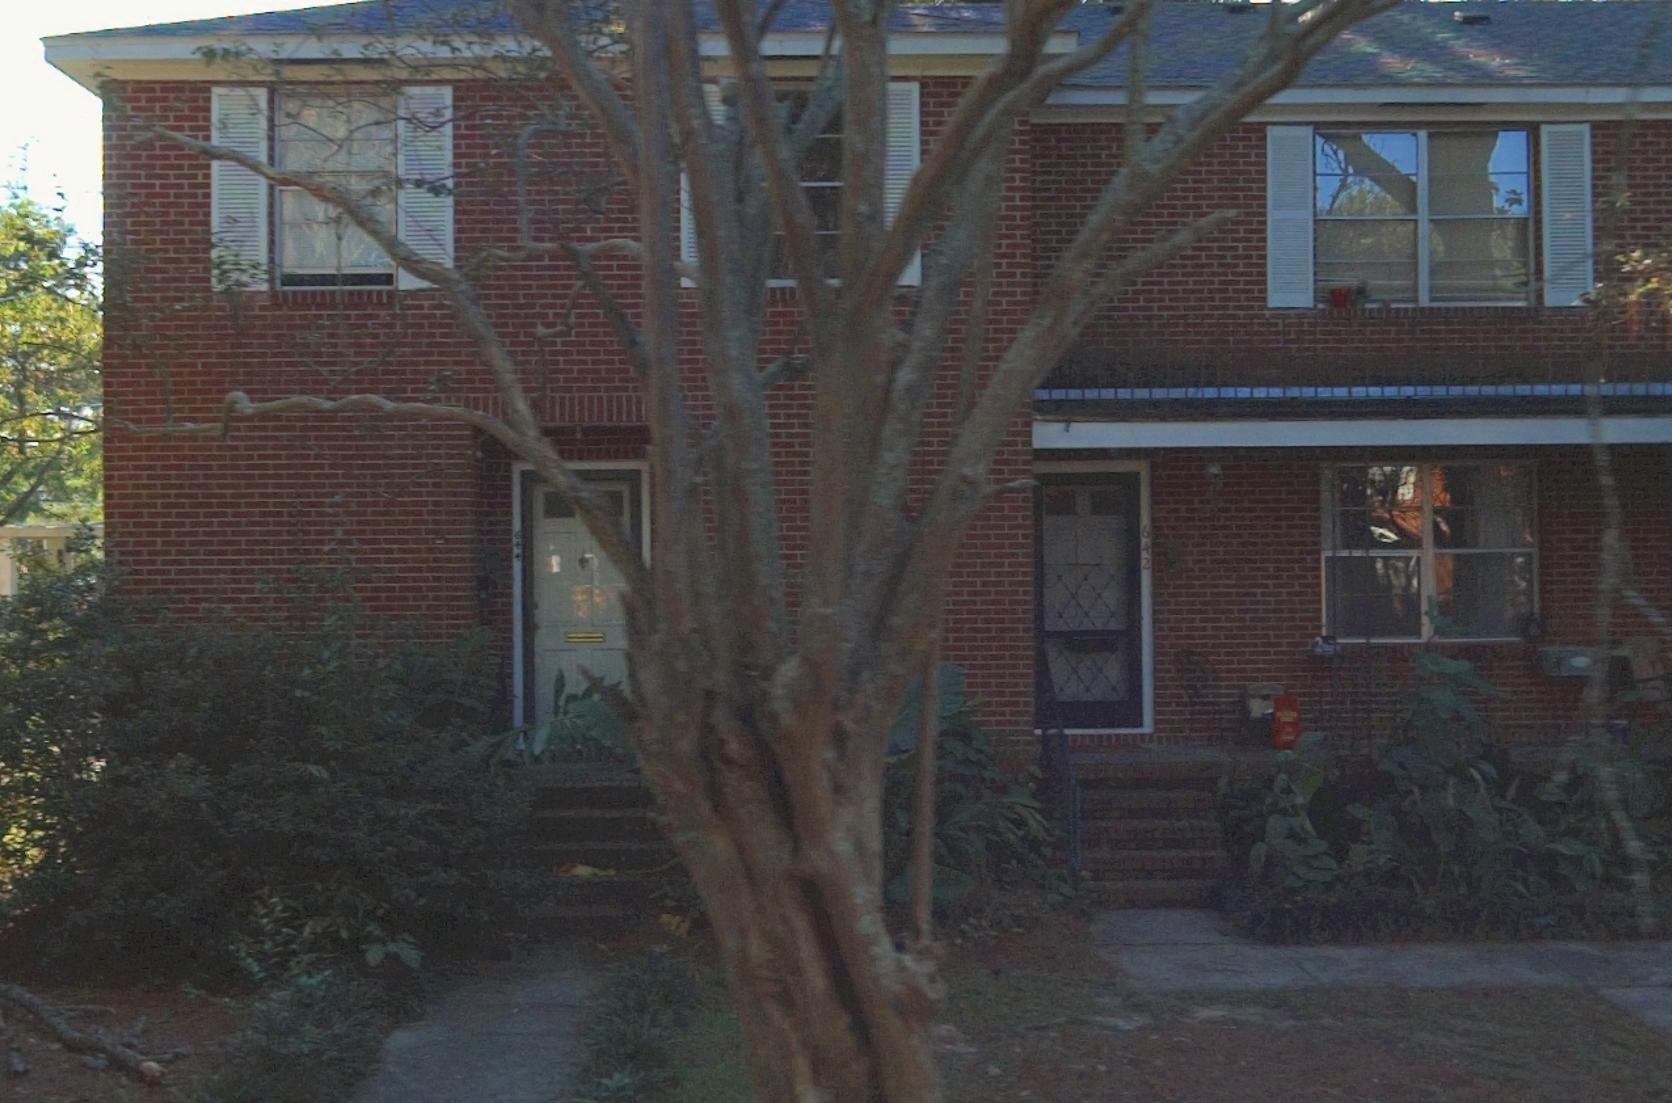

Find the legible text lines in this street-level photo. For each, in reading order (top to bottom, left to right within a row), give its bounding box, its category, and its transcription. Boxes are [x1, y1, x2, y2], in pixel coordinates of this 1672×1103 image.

[512, 526, 524, 564] StreetNumber: 644
[1140, 522, 1152, 572] StreetNumber: 642